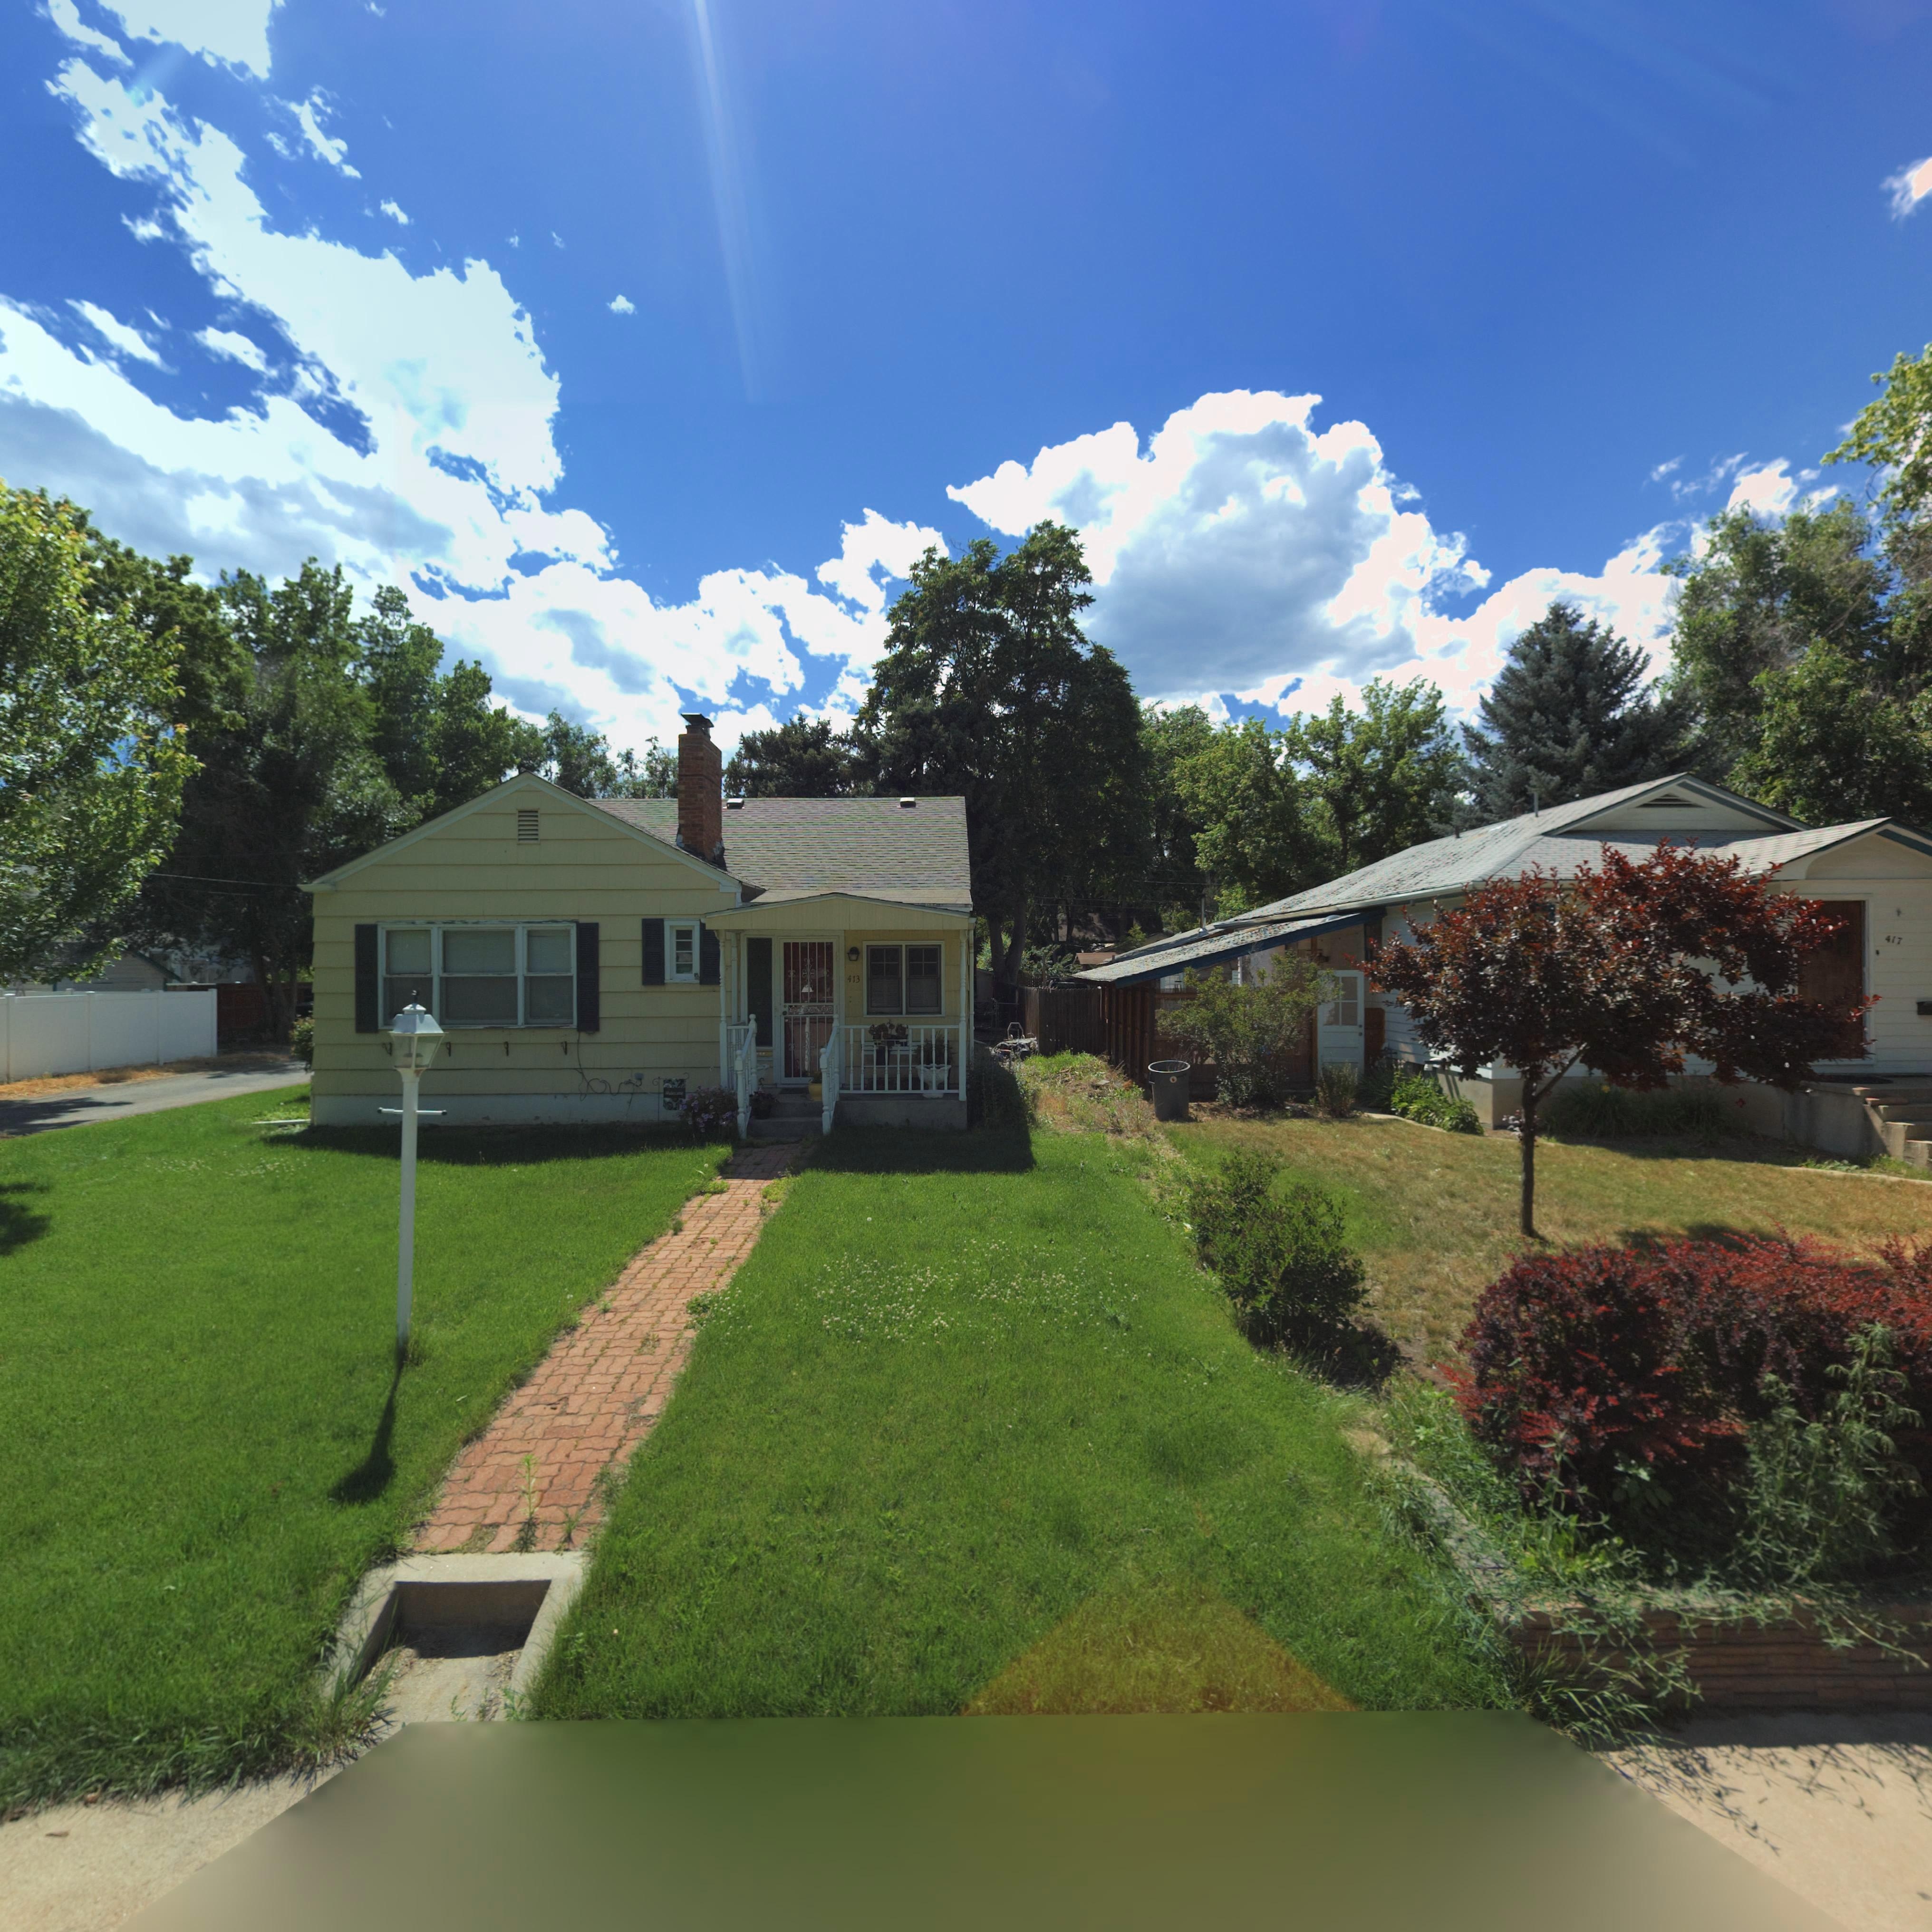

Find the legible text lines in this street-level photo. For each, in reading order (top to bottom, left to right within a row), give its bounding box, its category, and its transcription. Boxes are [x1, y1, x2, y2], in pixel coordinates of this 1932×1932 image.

[1884, 934, 1904, 945] StreetNumber: 417
[847, 975, 860, 983] StreetNumber: 413